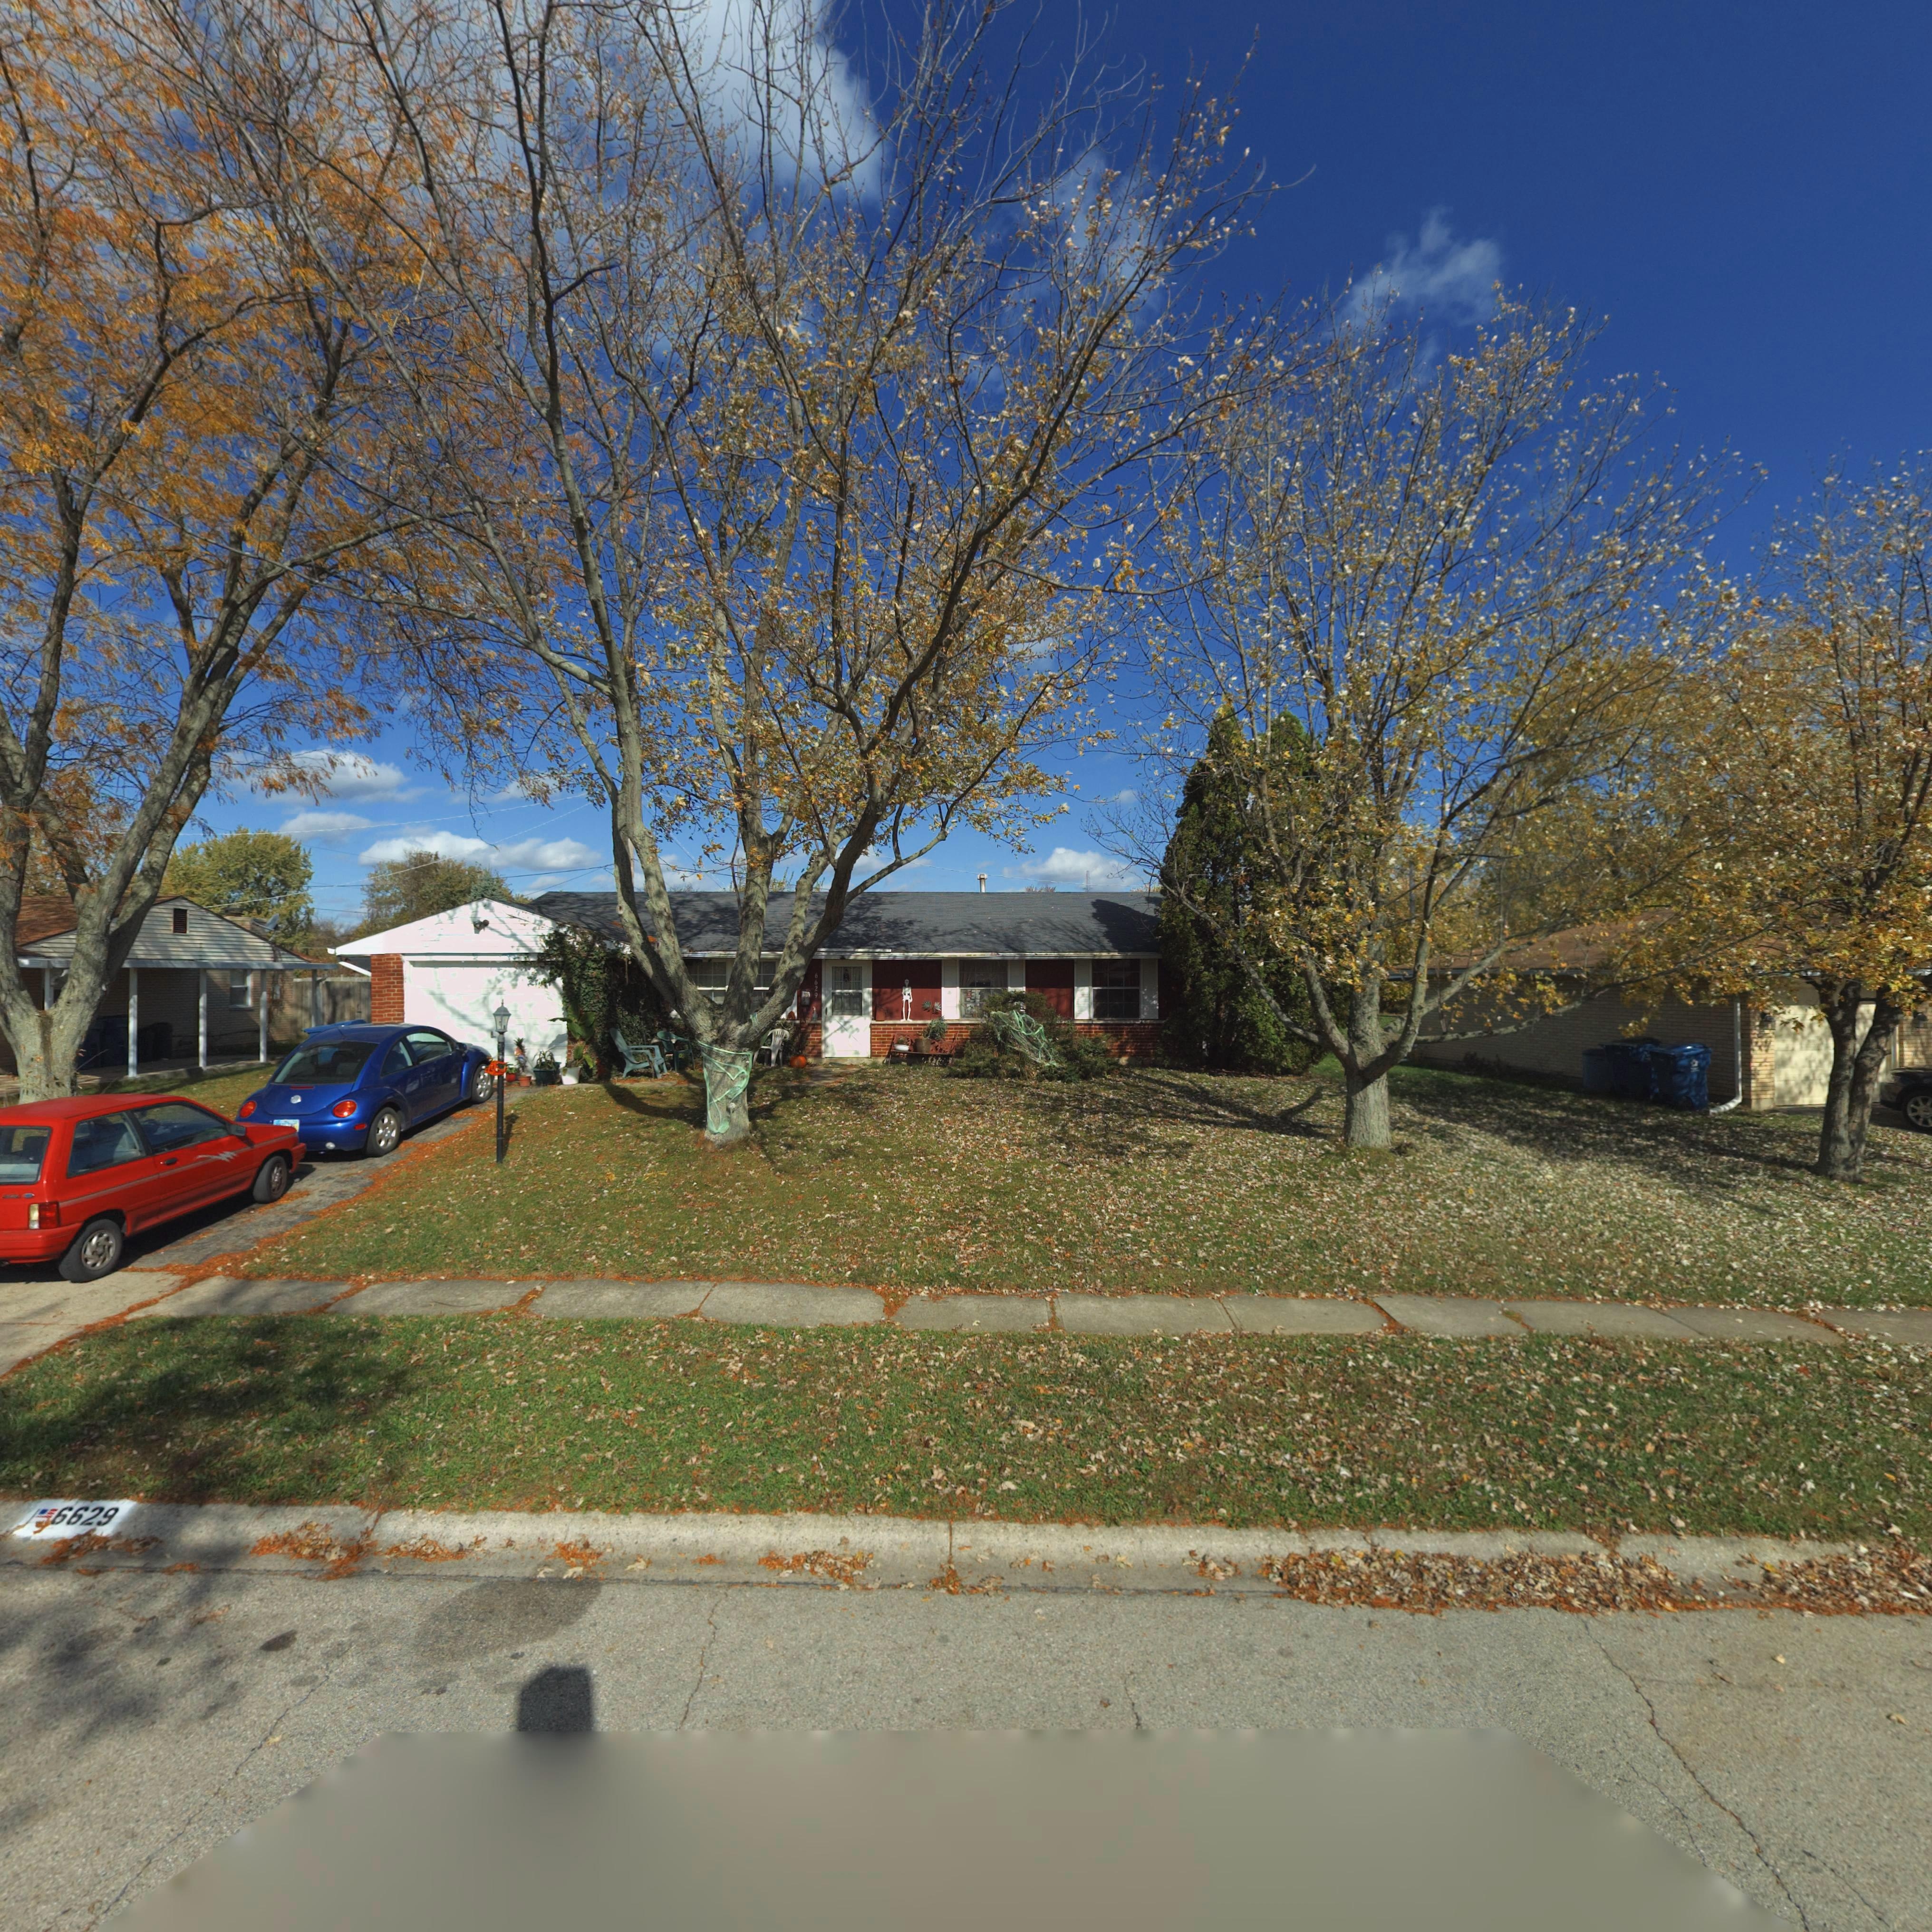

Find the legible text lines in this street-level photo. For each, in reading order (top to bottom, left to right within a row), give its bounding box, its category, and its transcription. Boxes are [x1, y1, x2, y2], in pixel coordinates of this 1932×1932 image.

[814, 972, 818, 999] StreetNumber: 6629
[49, 1506, 120, 1527] StreetNumber: 6629